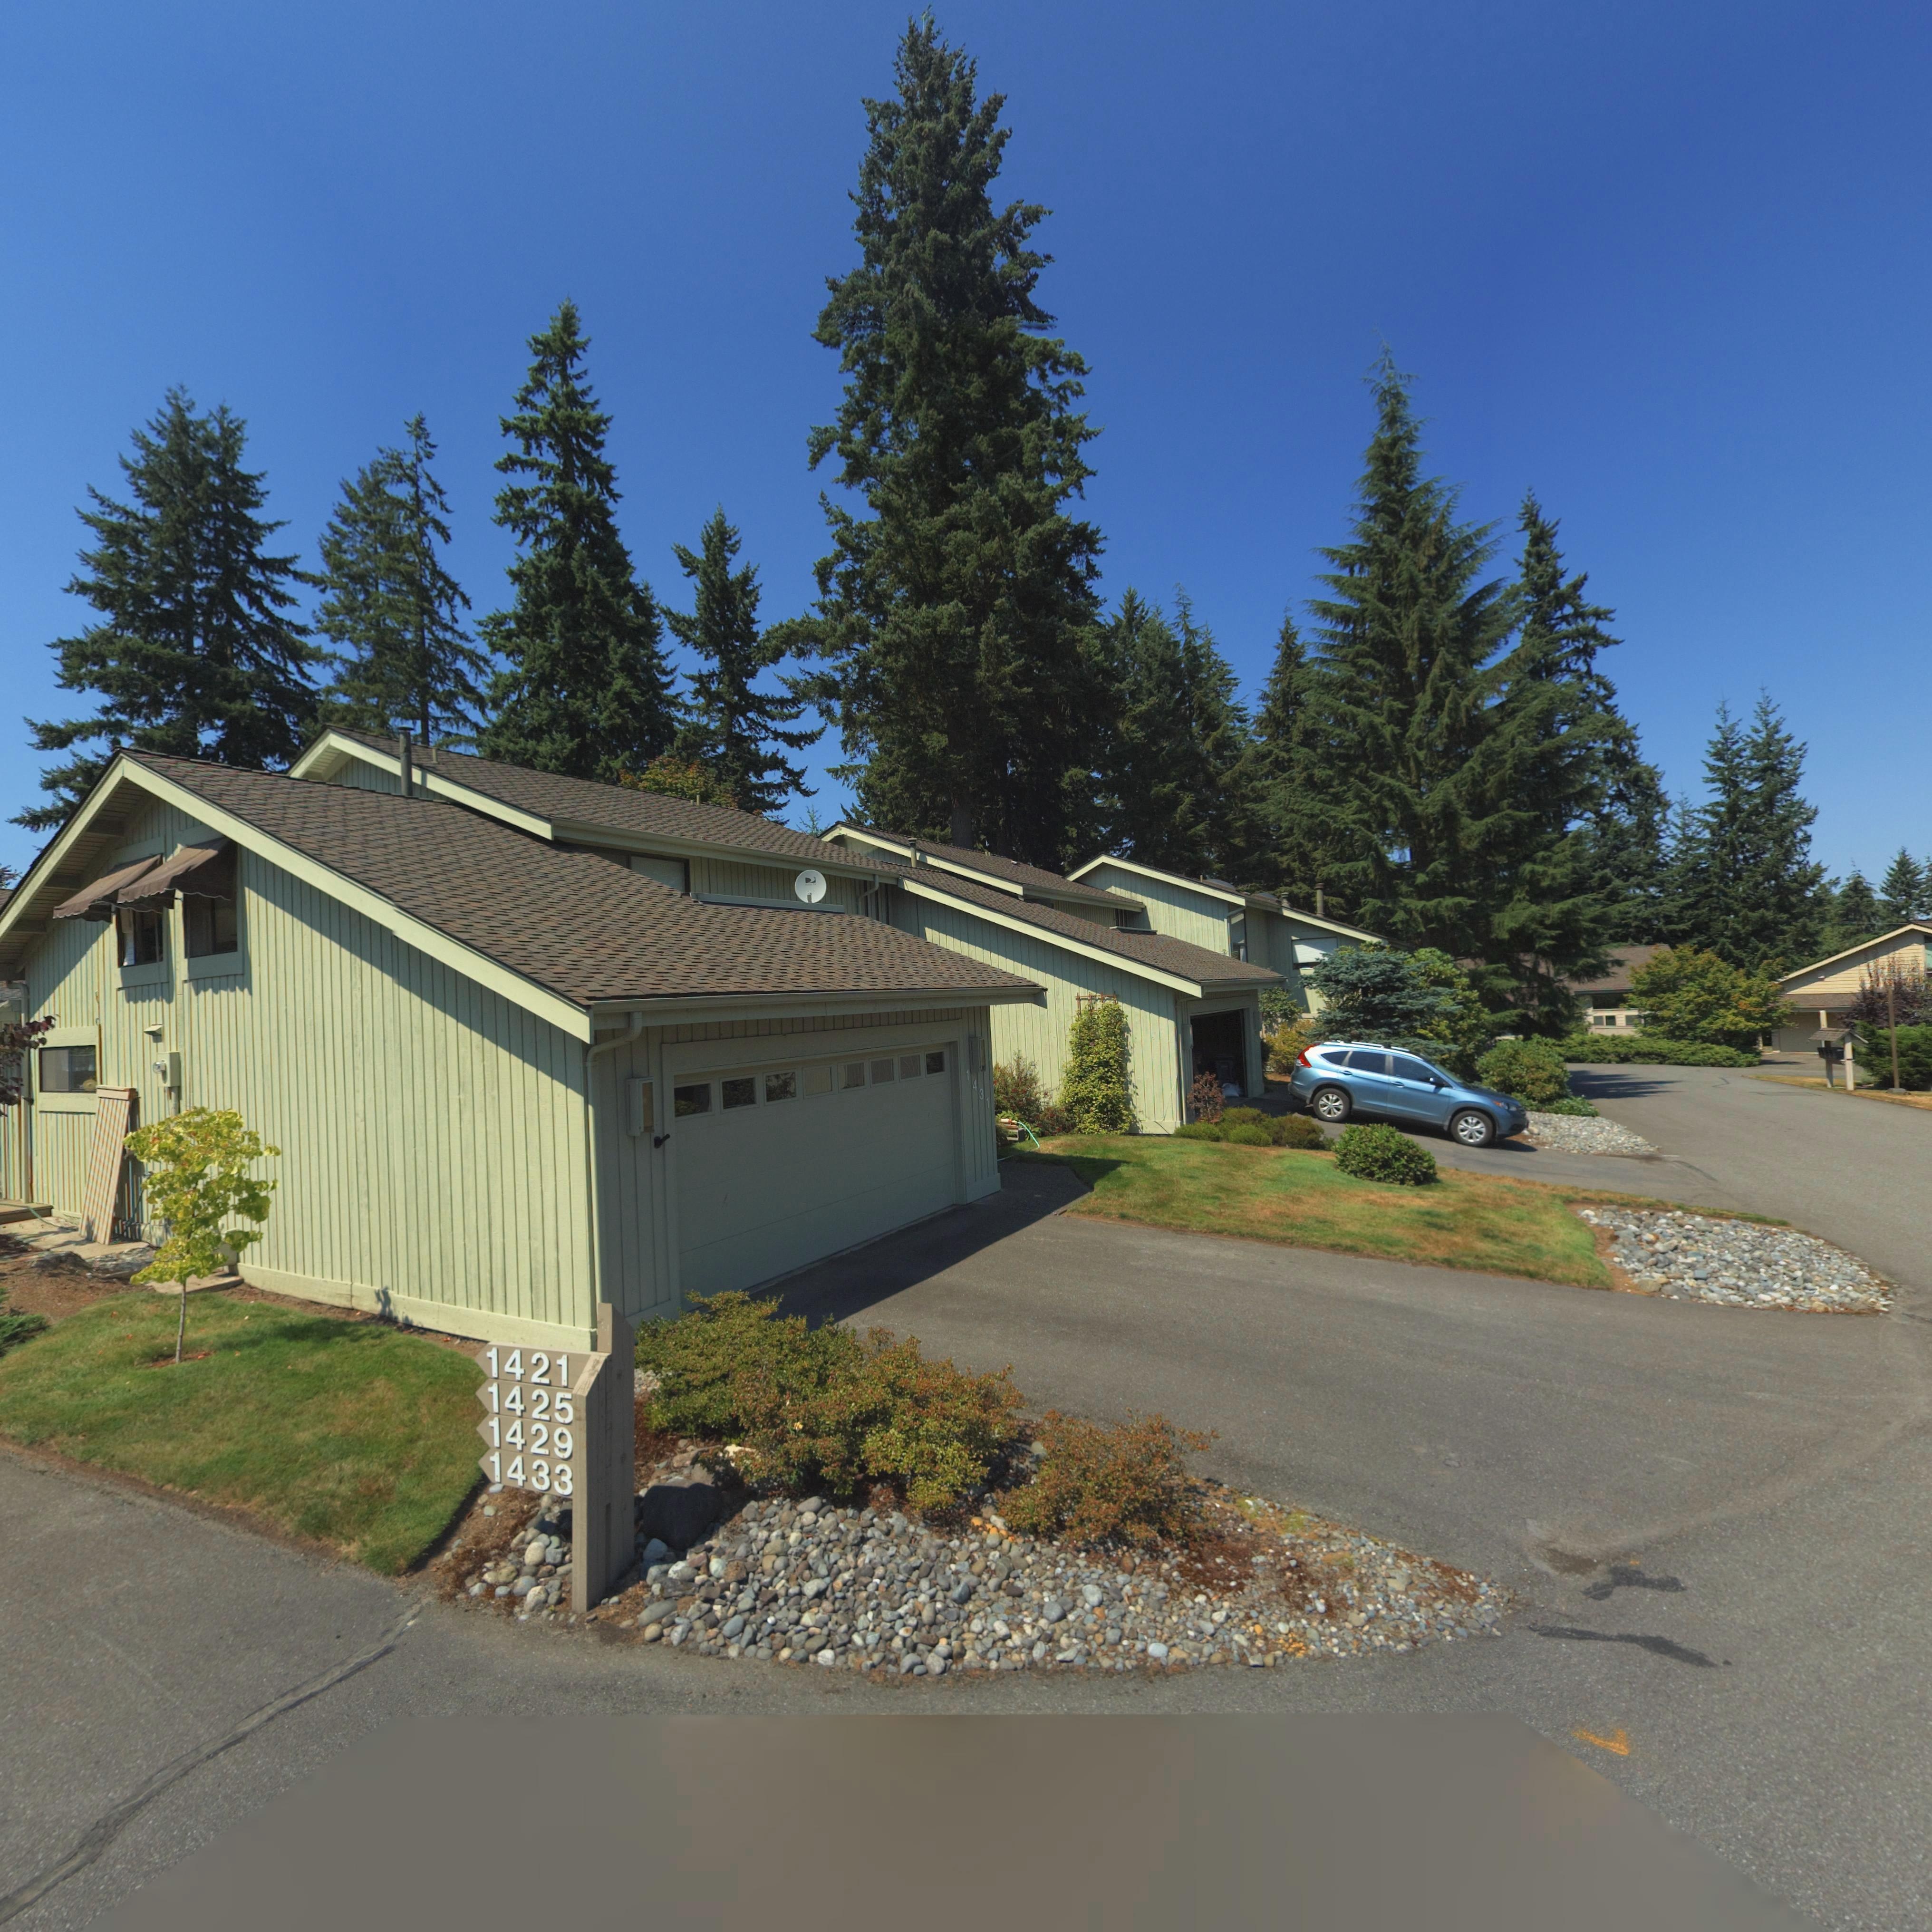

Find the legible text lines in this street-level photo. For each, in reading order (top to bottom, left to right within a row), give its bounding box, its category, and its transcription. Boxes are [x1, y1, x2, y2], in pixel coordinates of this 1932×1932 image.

[486, 1346, 567, 1385] StreetNumber: 1421
[489, 1383, 573, 1423] StreetNumber: 1425
[490, 1418, 572, 1459] StreetNumber: 1429
[490, 1450, 572, 1496] StreetNumber: 1433